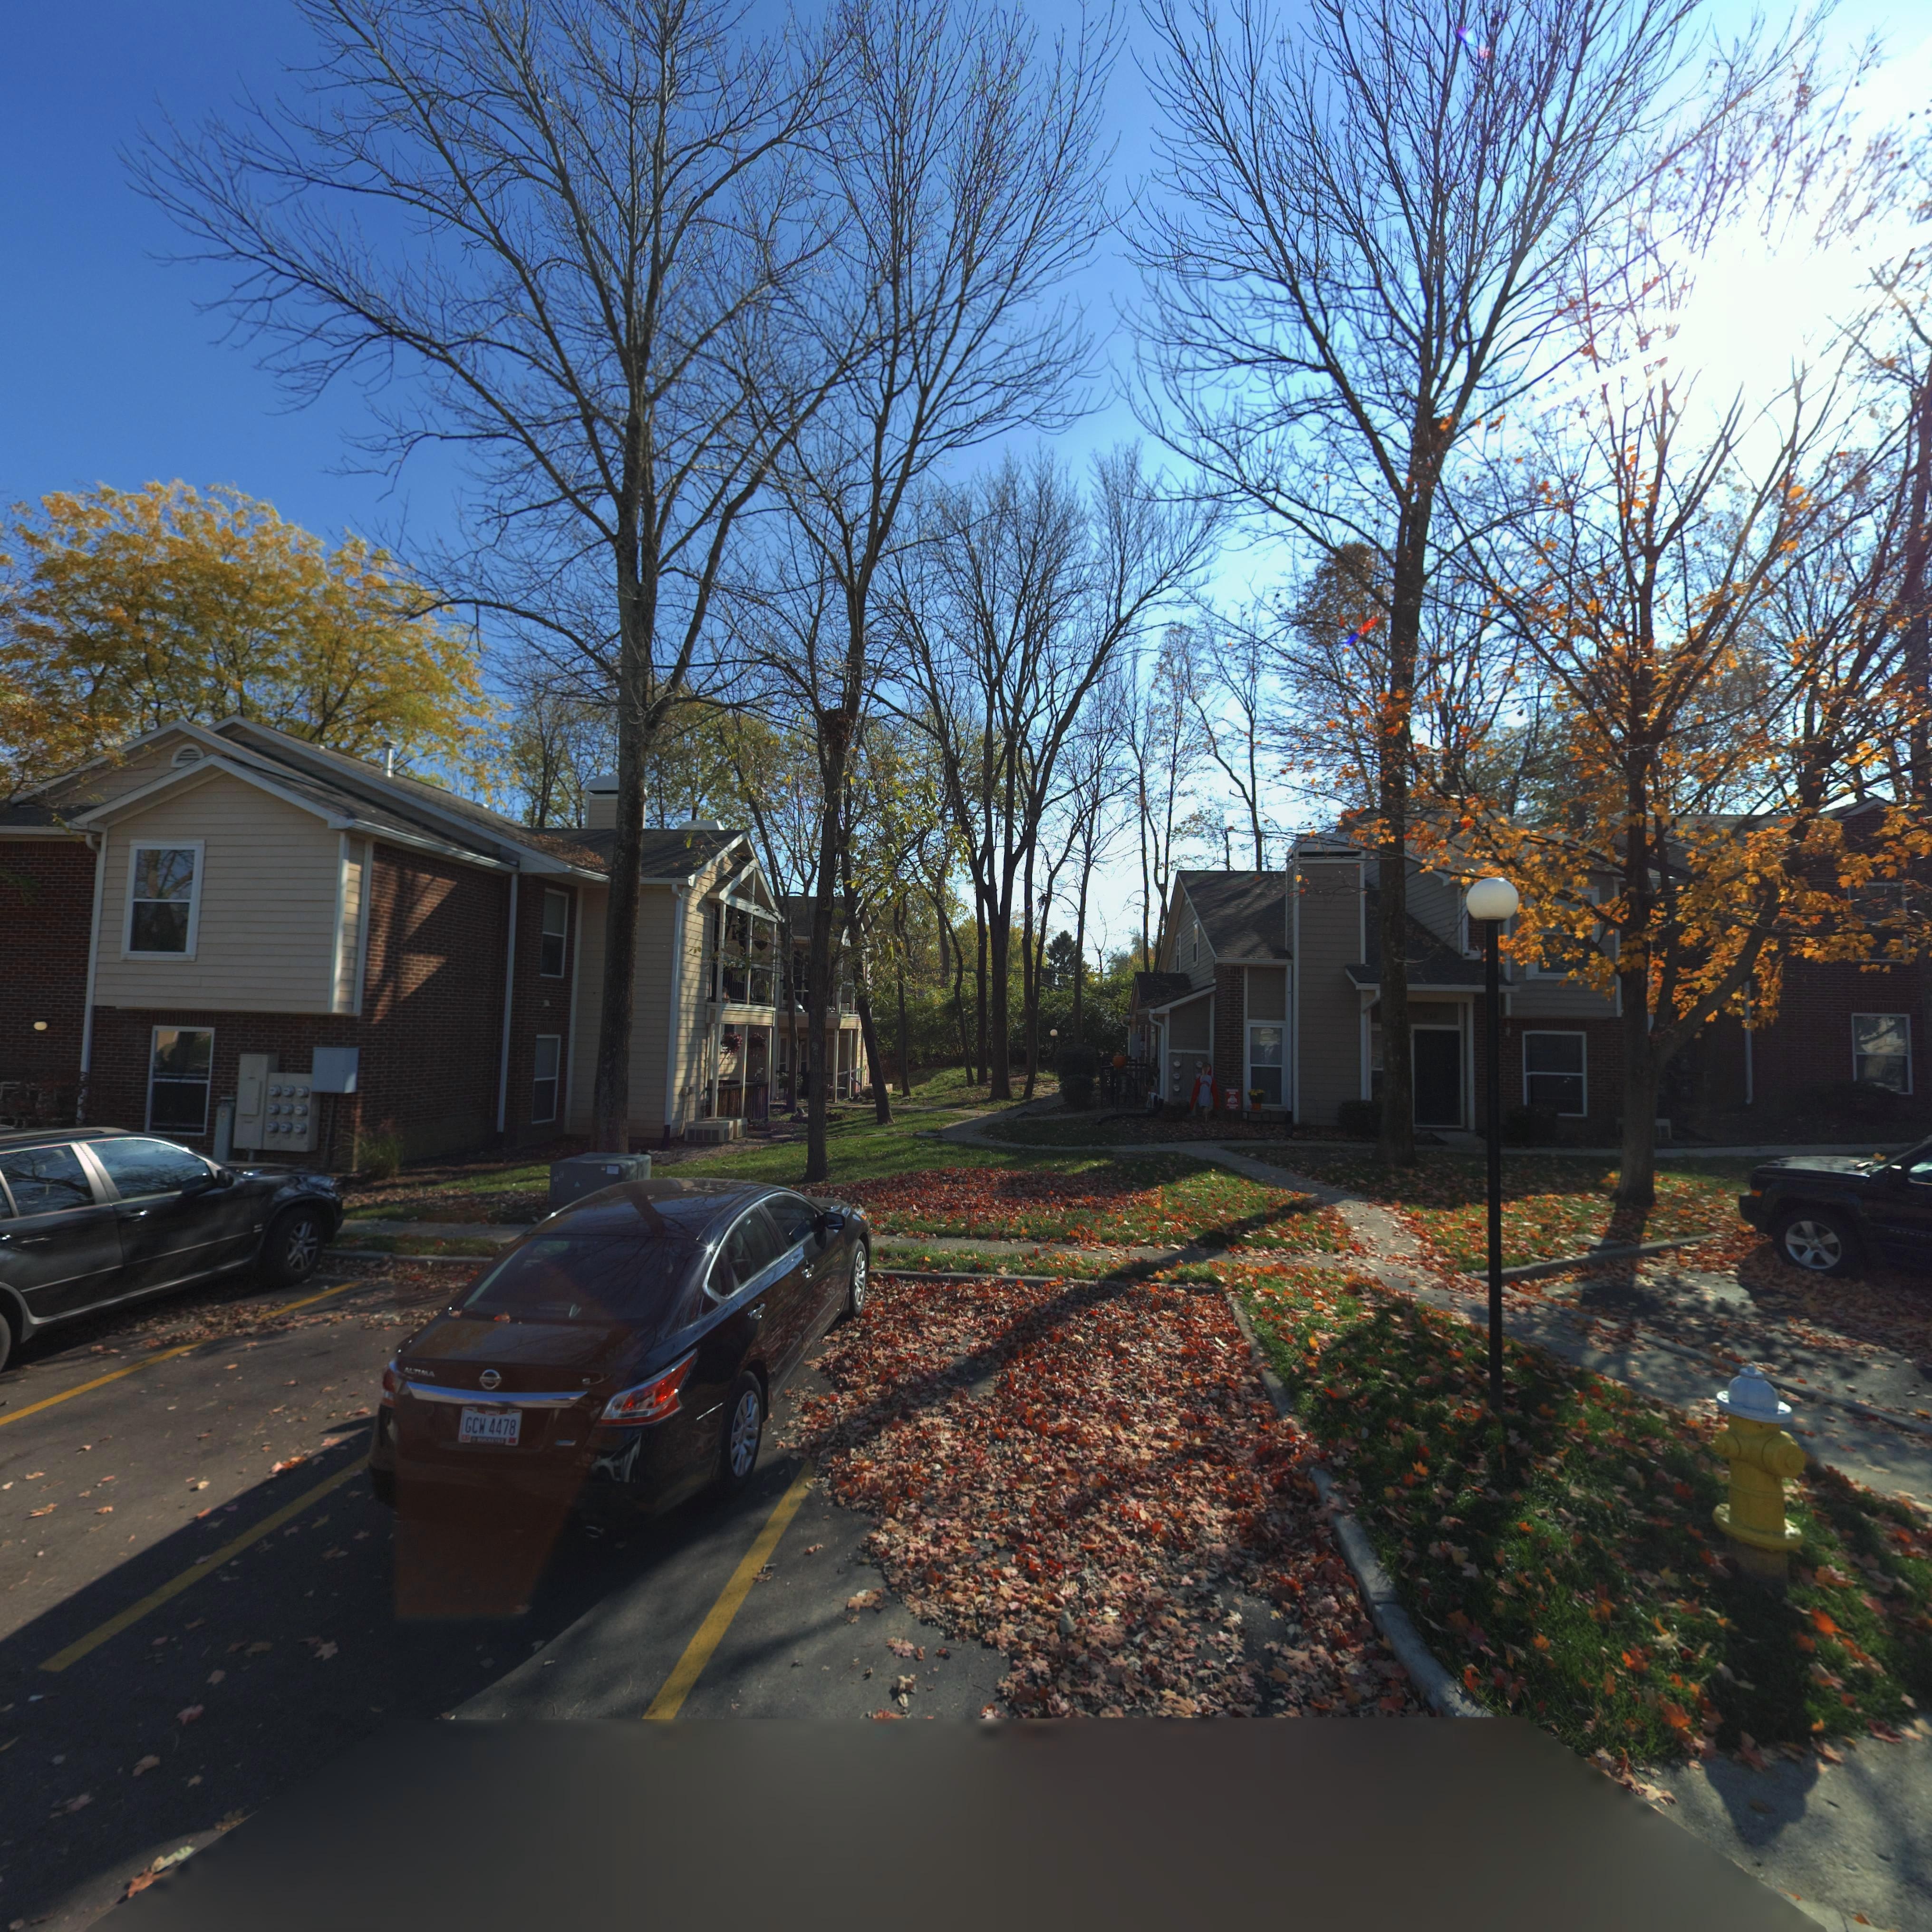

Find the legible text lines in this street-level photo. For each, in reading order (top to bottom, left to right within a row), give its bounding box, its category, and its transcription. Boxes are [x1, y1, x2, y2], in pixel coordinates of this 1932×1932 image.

[464, 1415, 518, 1437] None: GCW 4478